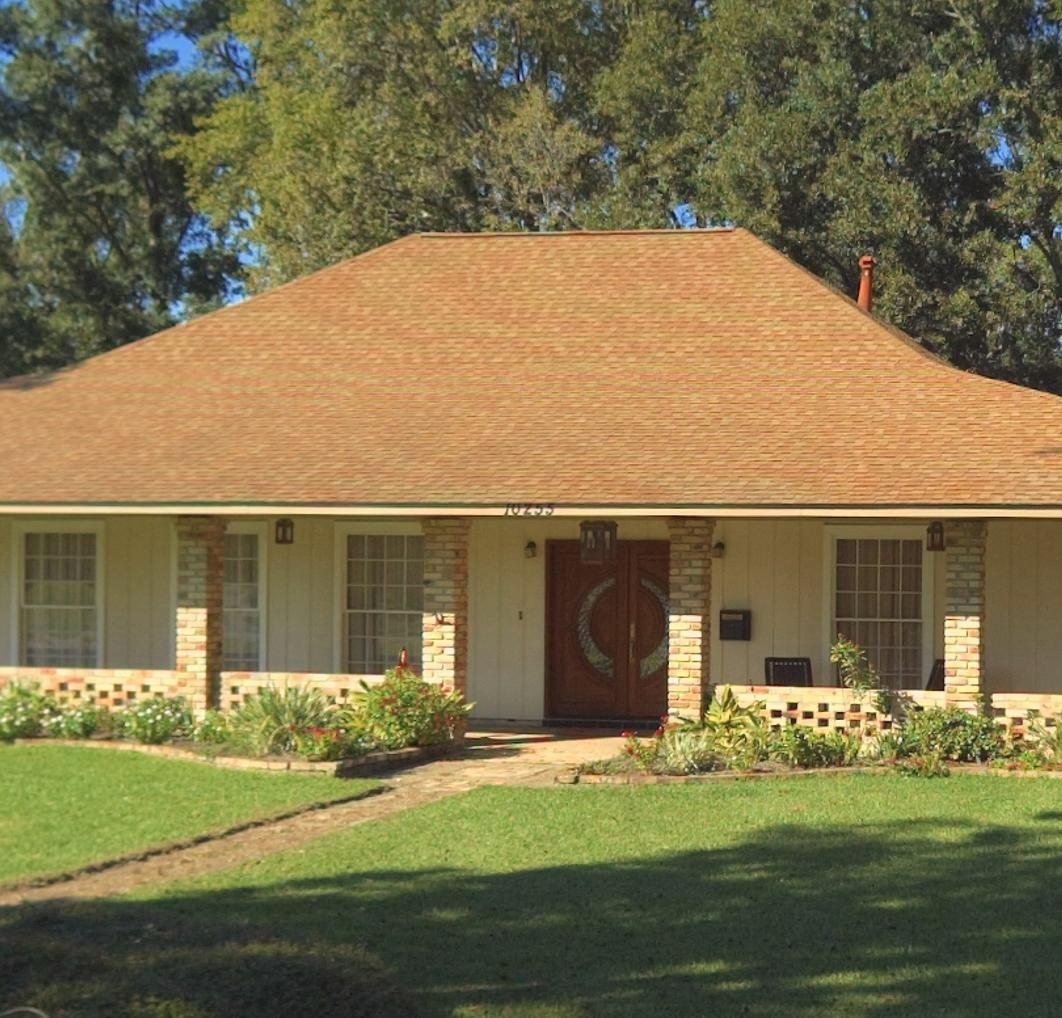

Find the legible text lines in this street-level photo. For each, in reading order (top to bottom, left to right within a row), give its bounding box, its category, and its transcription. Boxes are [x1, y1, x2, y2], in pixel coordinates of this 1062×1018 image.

[502, 503, 556, 517] StreetNumber: 10255